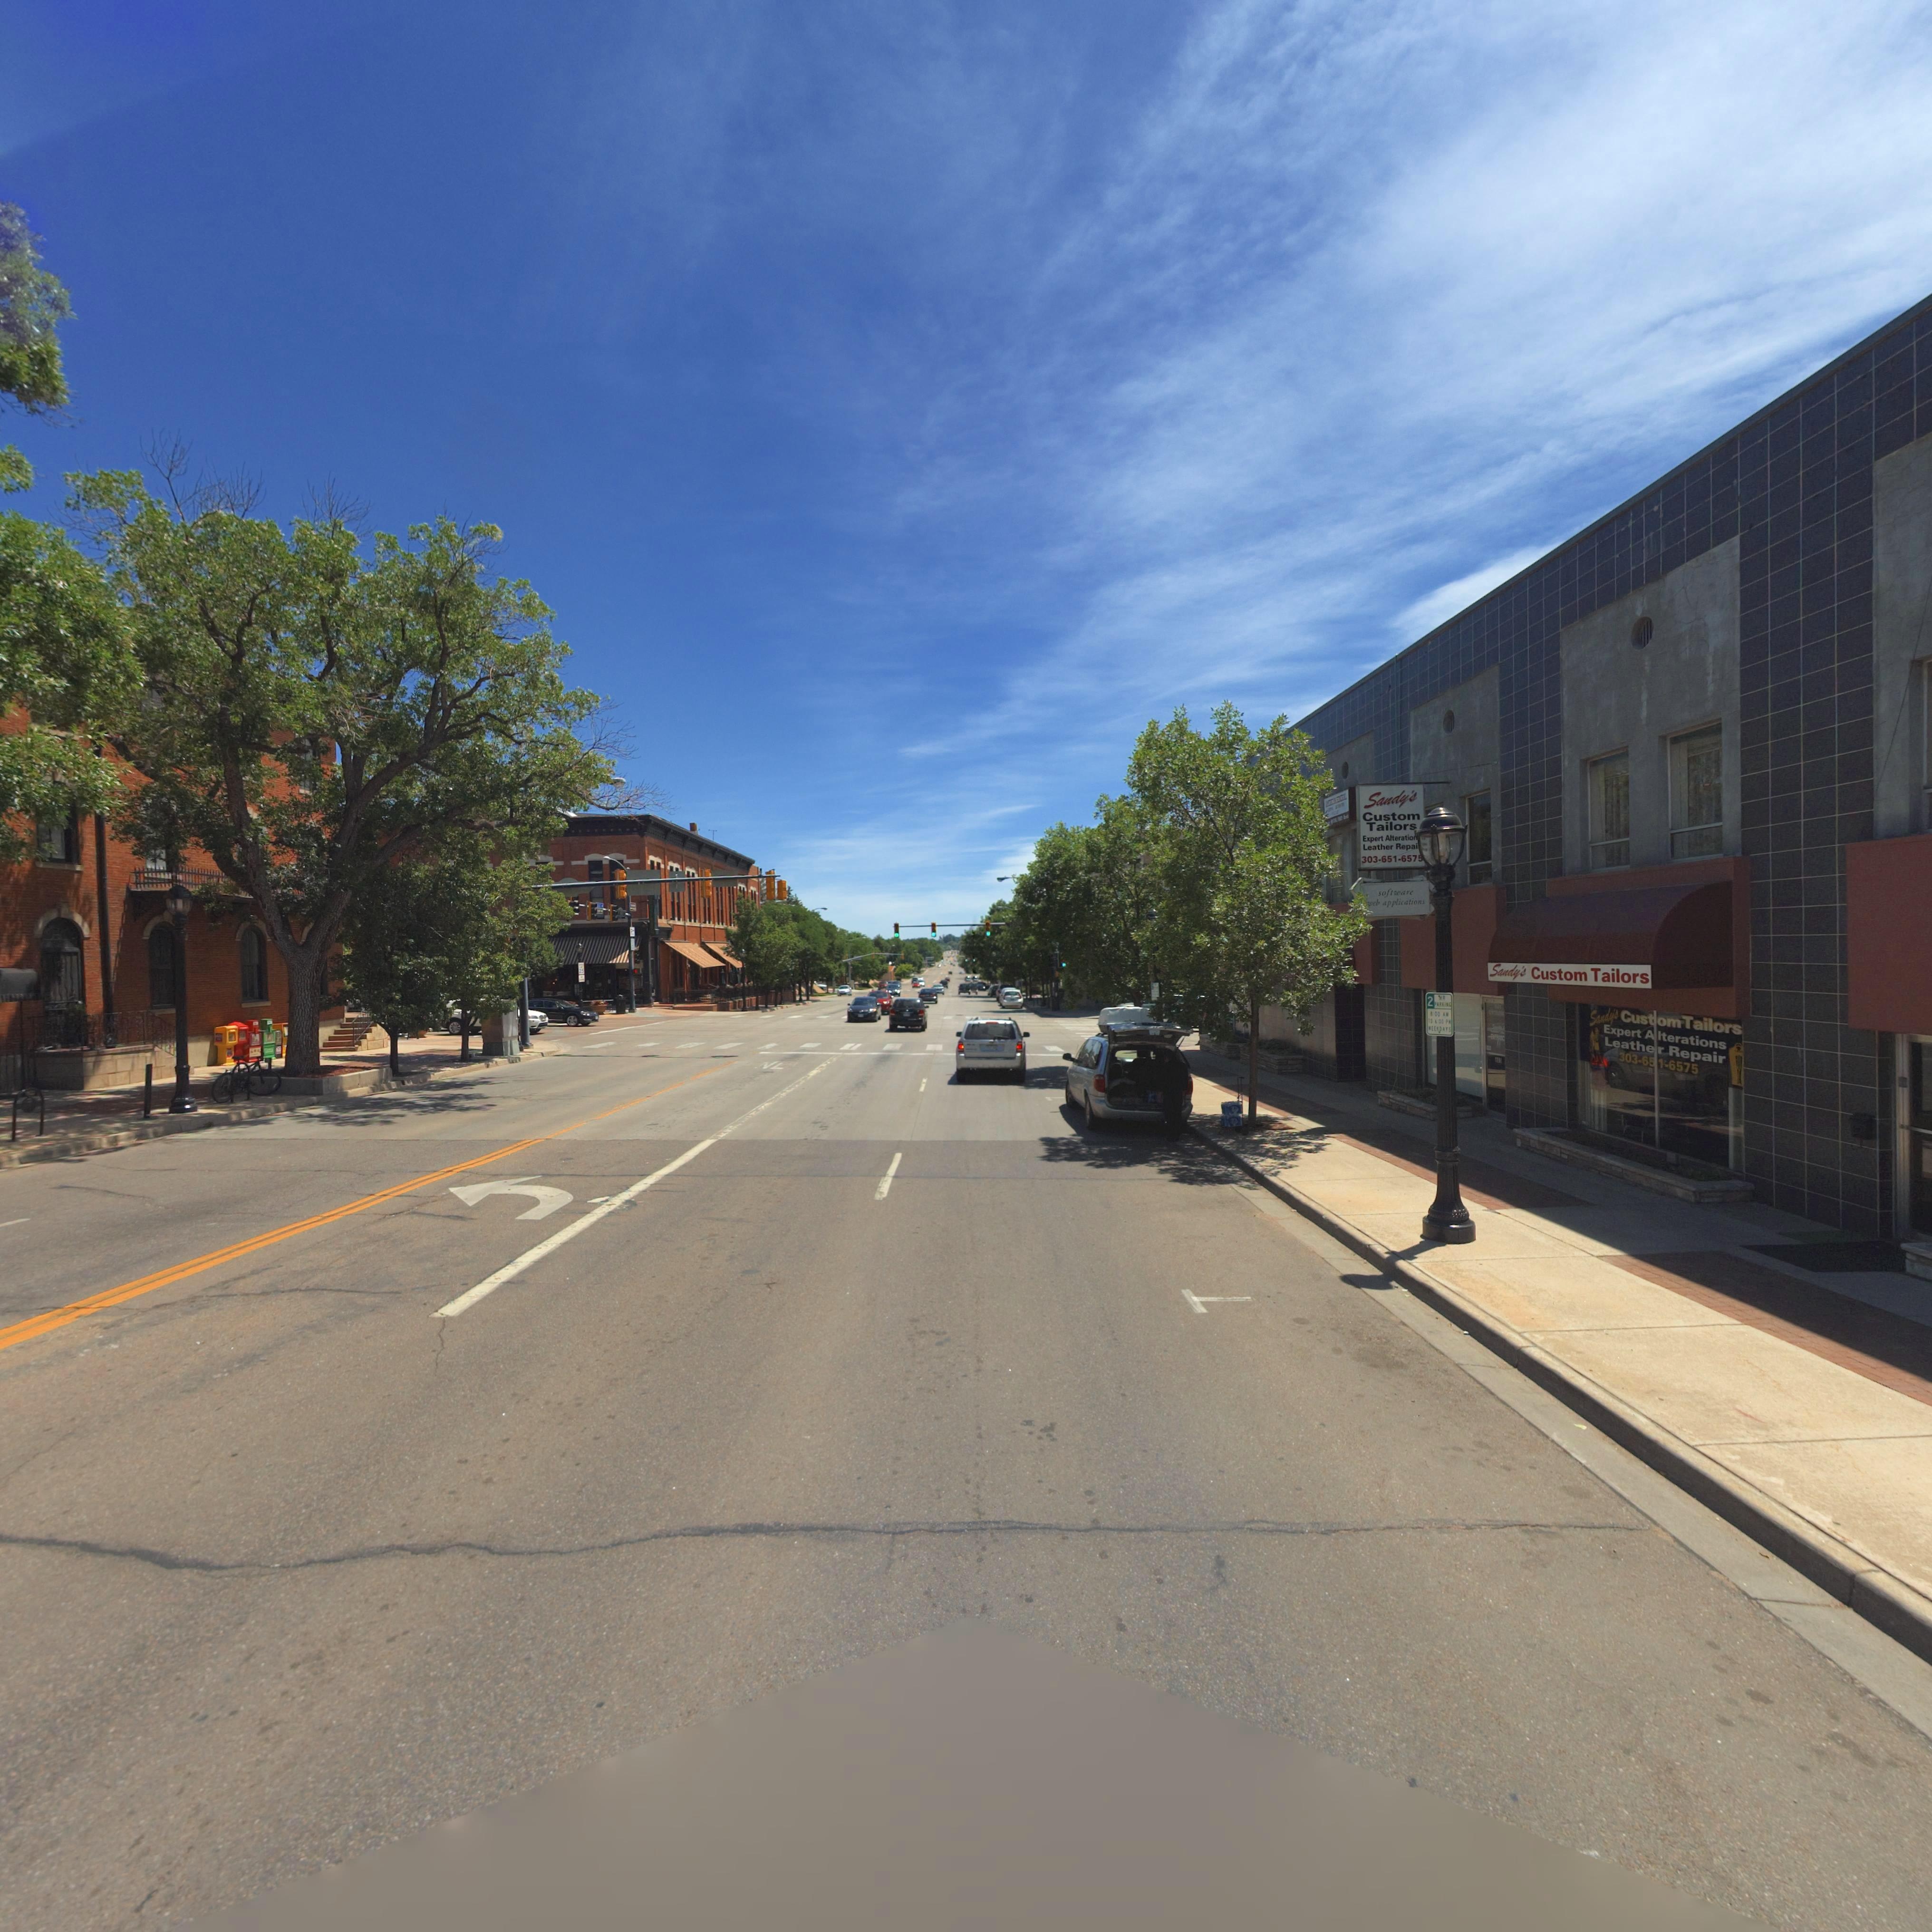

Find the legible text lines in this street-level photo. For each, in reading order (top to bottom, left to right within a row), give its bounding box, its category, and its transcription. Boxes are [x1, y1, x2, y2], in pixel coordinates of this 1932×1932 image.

[1362, 790, 1418, 809] BusinessName: Sandy's
[1366, 821, 1417, 831] BusinessName: Tailors
[1362, 812, 1420, 821] BusinessName: Custom
[1489, 963, 1649, 984] BusinessName: Sandy's Custom Tailors
[1590, 1007, 1619, 1027] BusinessName: Sandy's
[1620, 1009, 1742, 1035] BusinessName: Custom Tailors